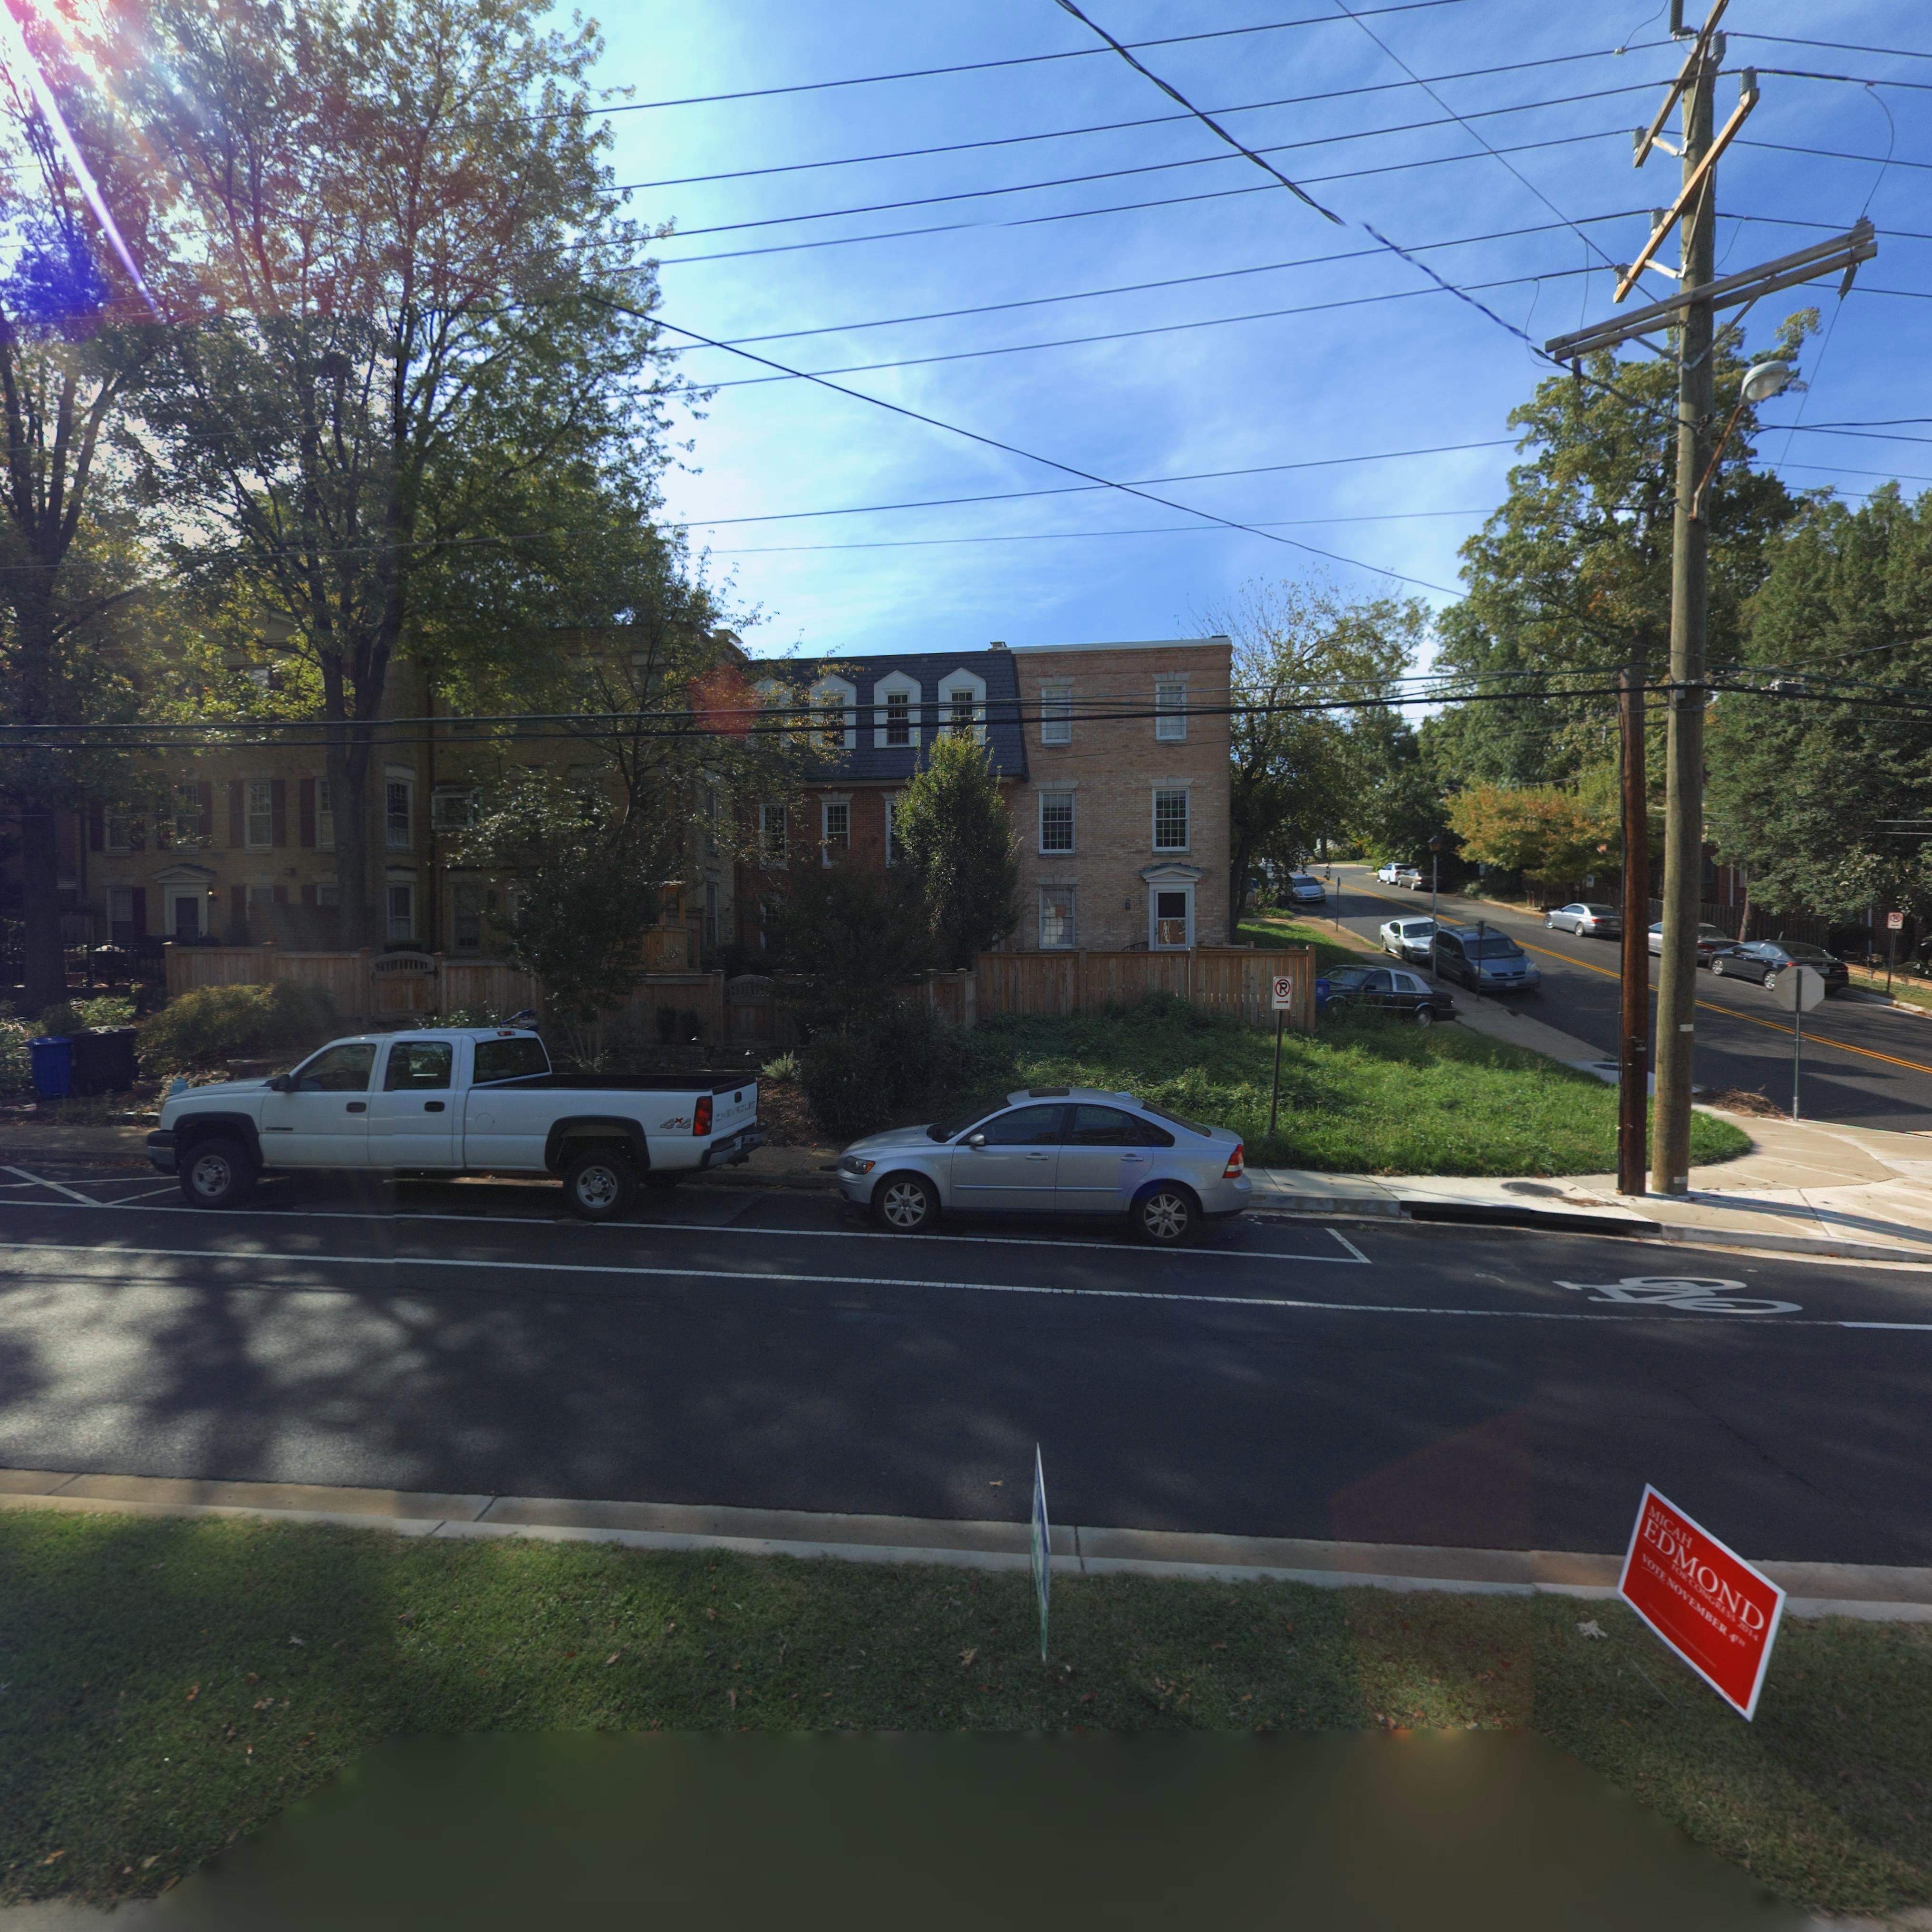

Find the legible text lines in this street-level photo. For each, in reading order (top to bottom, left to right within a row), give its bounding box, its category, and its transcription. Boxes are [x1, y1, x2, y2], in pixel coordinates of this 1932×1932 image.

[658, 1117, 692, 1130] None: 4x4
[715, 1100, 756, 1123] None: CHEVROLET
[1648, 1505, 1693, 1550] None: MICAH
[1642, 1552, 1747, 1648] None: VOTE NOVEMBER 4TH
[1642, 1516, 1765, 1630] None: EDMOND
[1670, 1562, 1760, 1642] None: FOR CONGRESS 2014